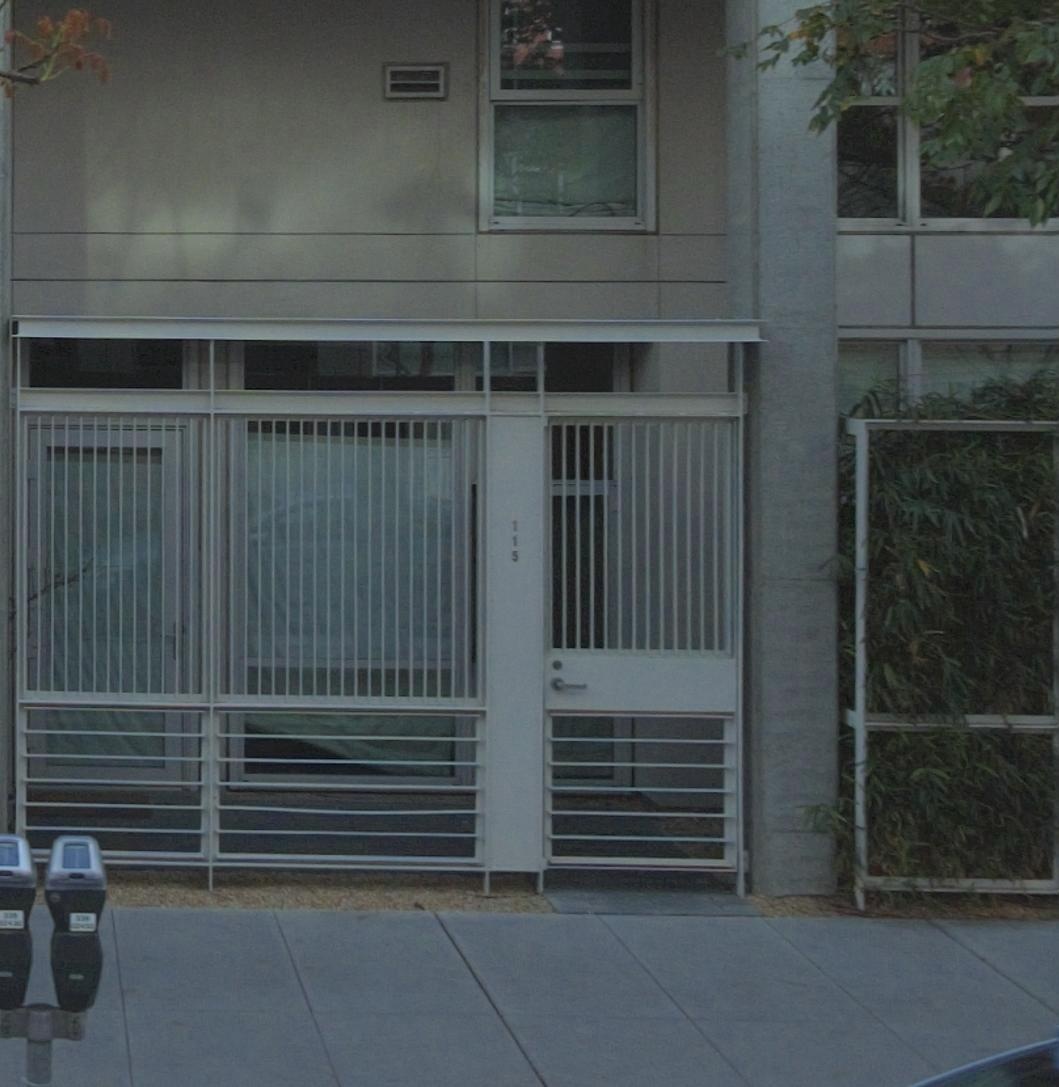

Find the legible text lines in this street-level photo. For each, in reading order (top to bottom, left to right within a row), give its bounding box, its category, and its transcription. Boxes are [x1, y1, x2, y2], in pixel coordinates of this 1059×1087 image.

[510, 517, 521, 565] StreetNumber: 115